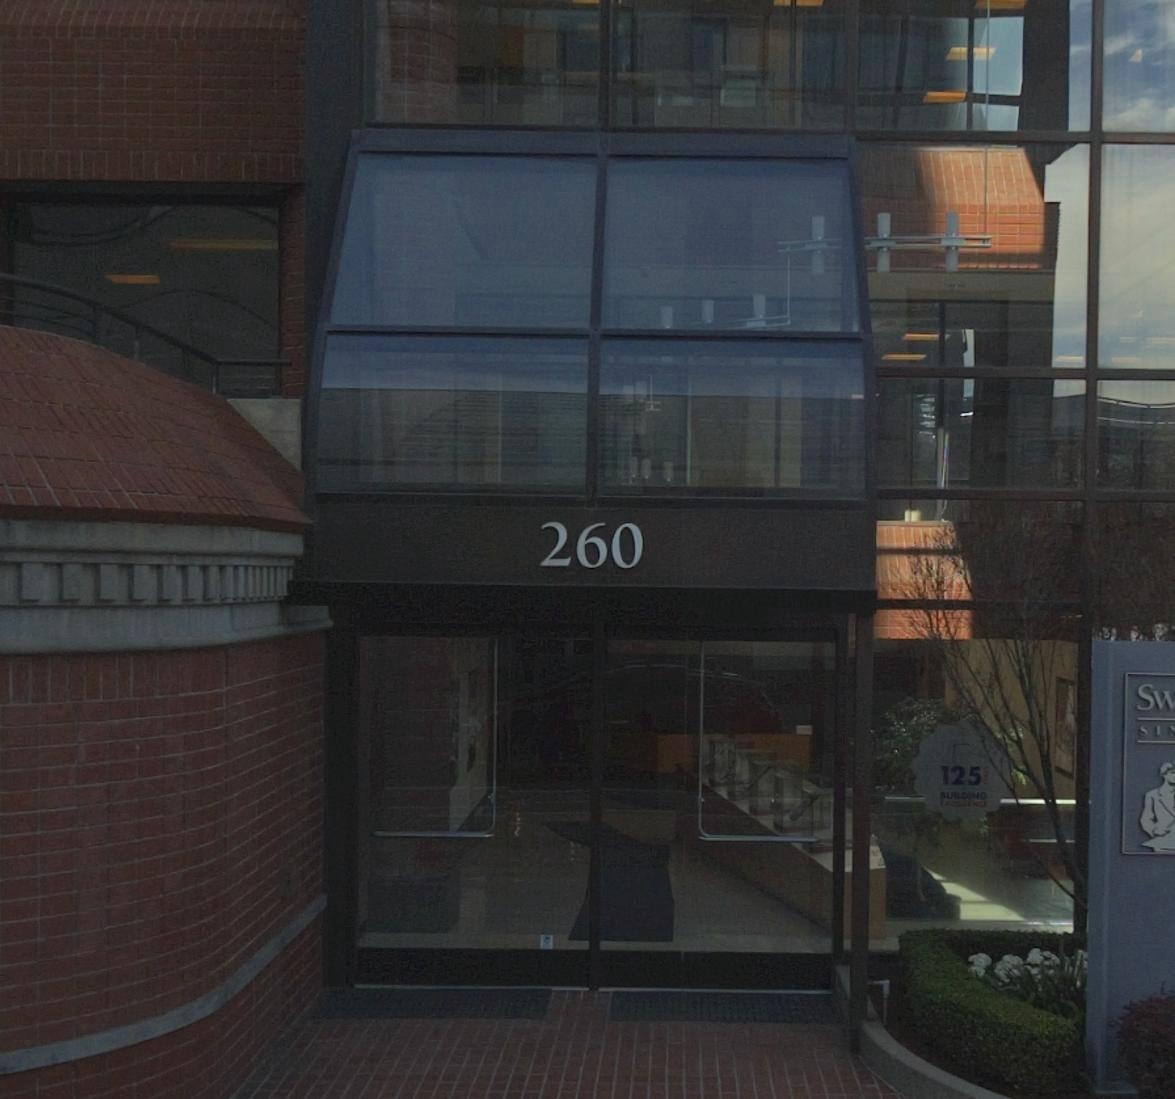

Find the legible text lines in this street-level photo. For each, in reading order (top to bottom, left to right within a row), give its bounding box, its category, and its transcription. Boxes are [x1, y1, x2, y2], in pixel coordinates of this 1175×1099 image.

[537, 520, 647, 572] StreetNumber: 260
[1133, 681, 1158, 713] BusinessName: S
[1137, 721, 1164, 740] BusinessName: SI
[938, 762, 985, 789] None: 125
[937, 788, 989, 802] None: BUILDING